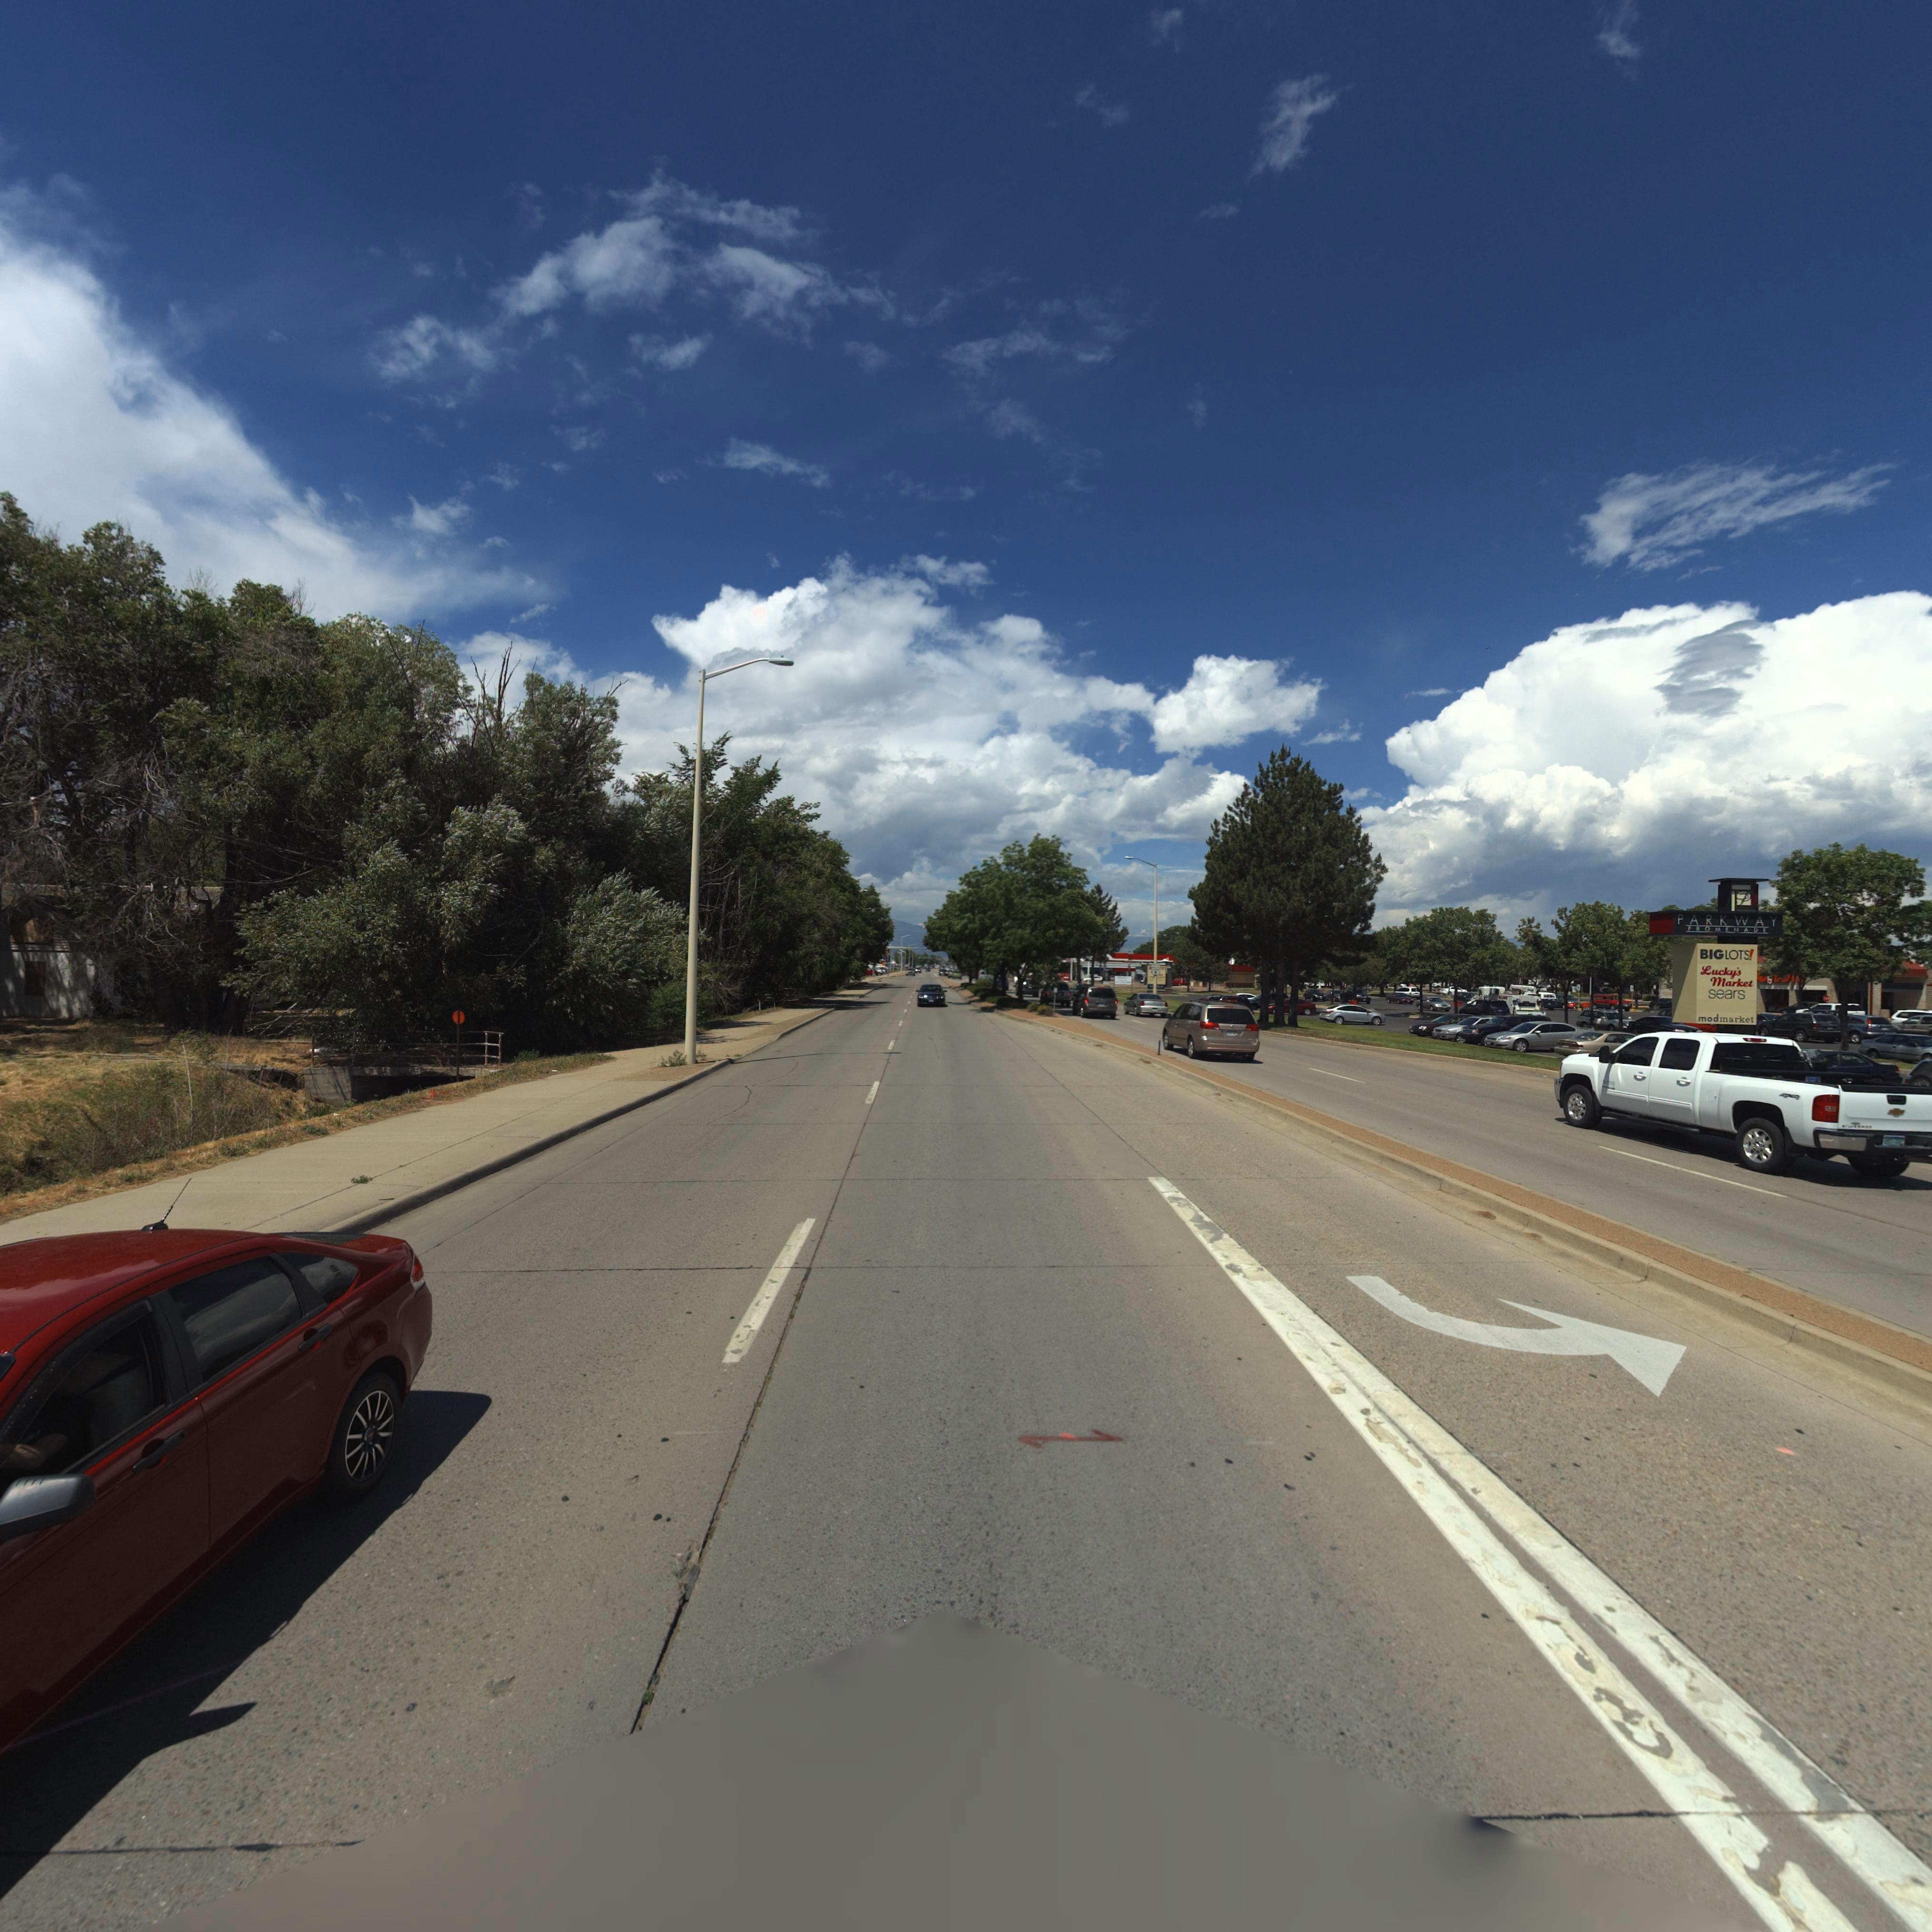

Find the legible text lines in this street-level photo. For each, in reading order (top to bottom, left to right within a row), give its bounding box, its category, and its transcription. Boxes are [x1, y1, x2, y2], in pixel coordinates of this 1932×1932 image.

[1700, 948, 1755, 960] BusinessName: BIG LOTS!
[1700, 965, 1741, 979] BusinessName: Lucky's
[1710, 976, 1754, 987] BusinessName: Market
[1708, 988, 1746, 1000] BusinessName: sears
[1698, 1014, 1754, 1023] BusinessName: modmarket